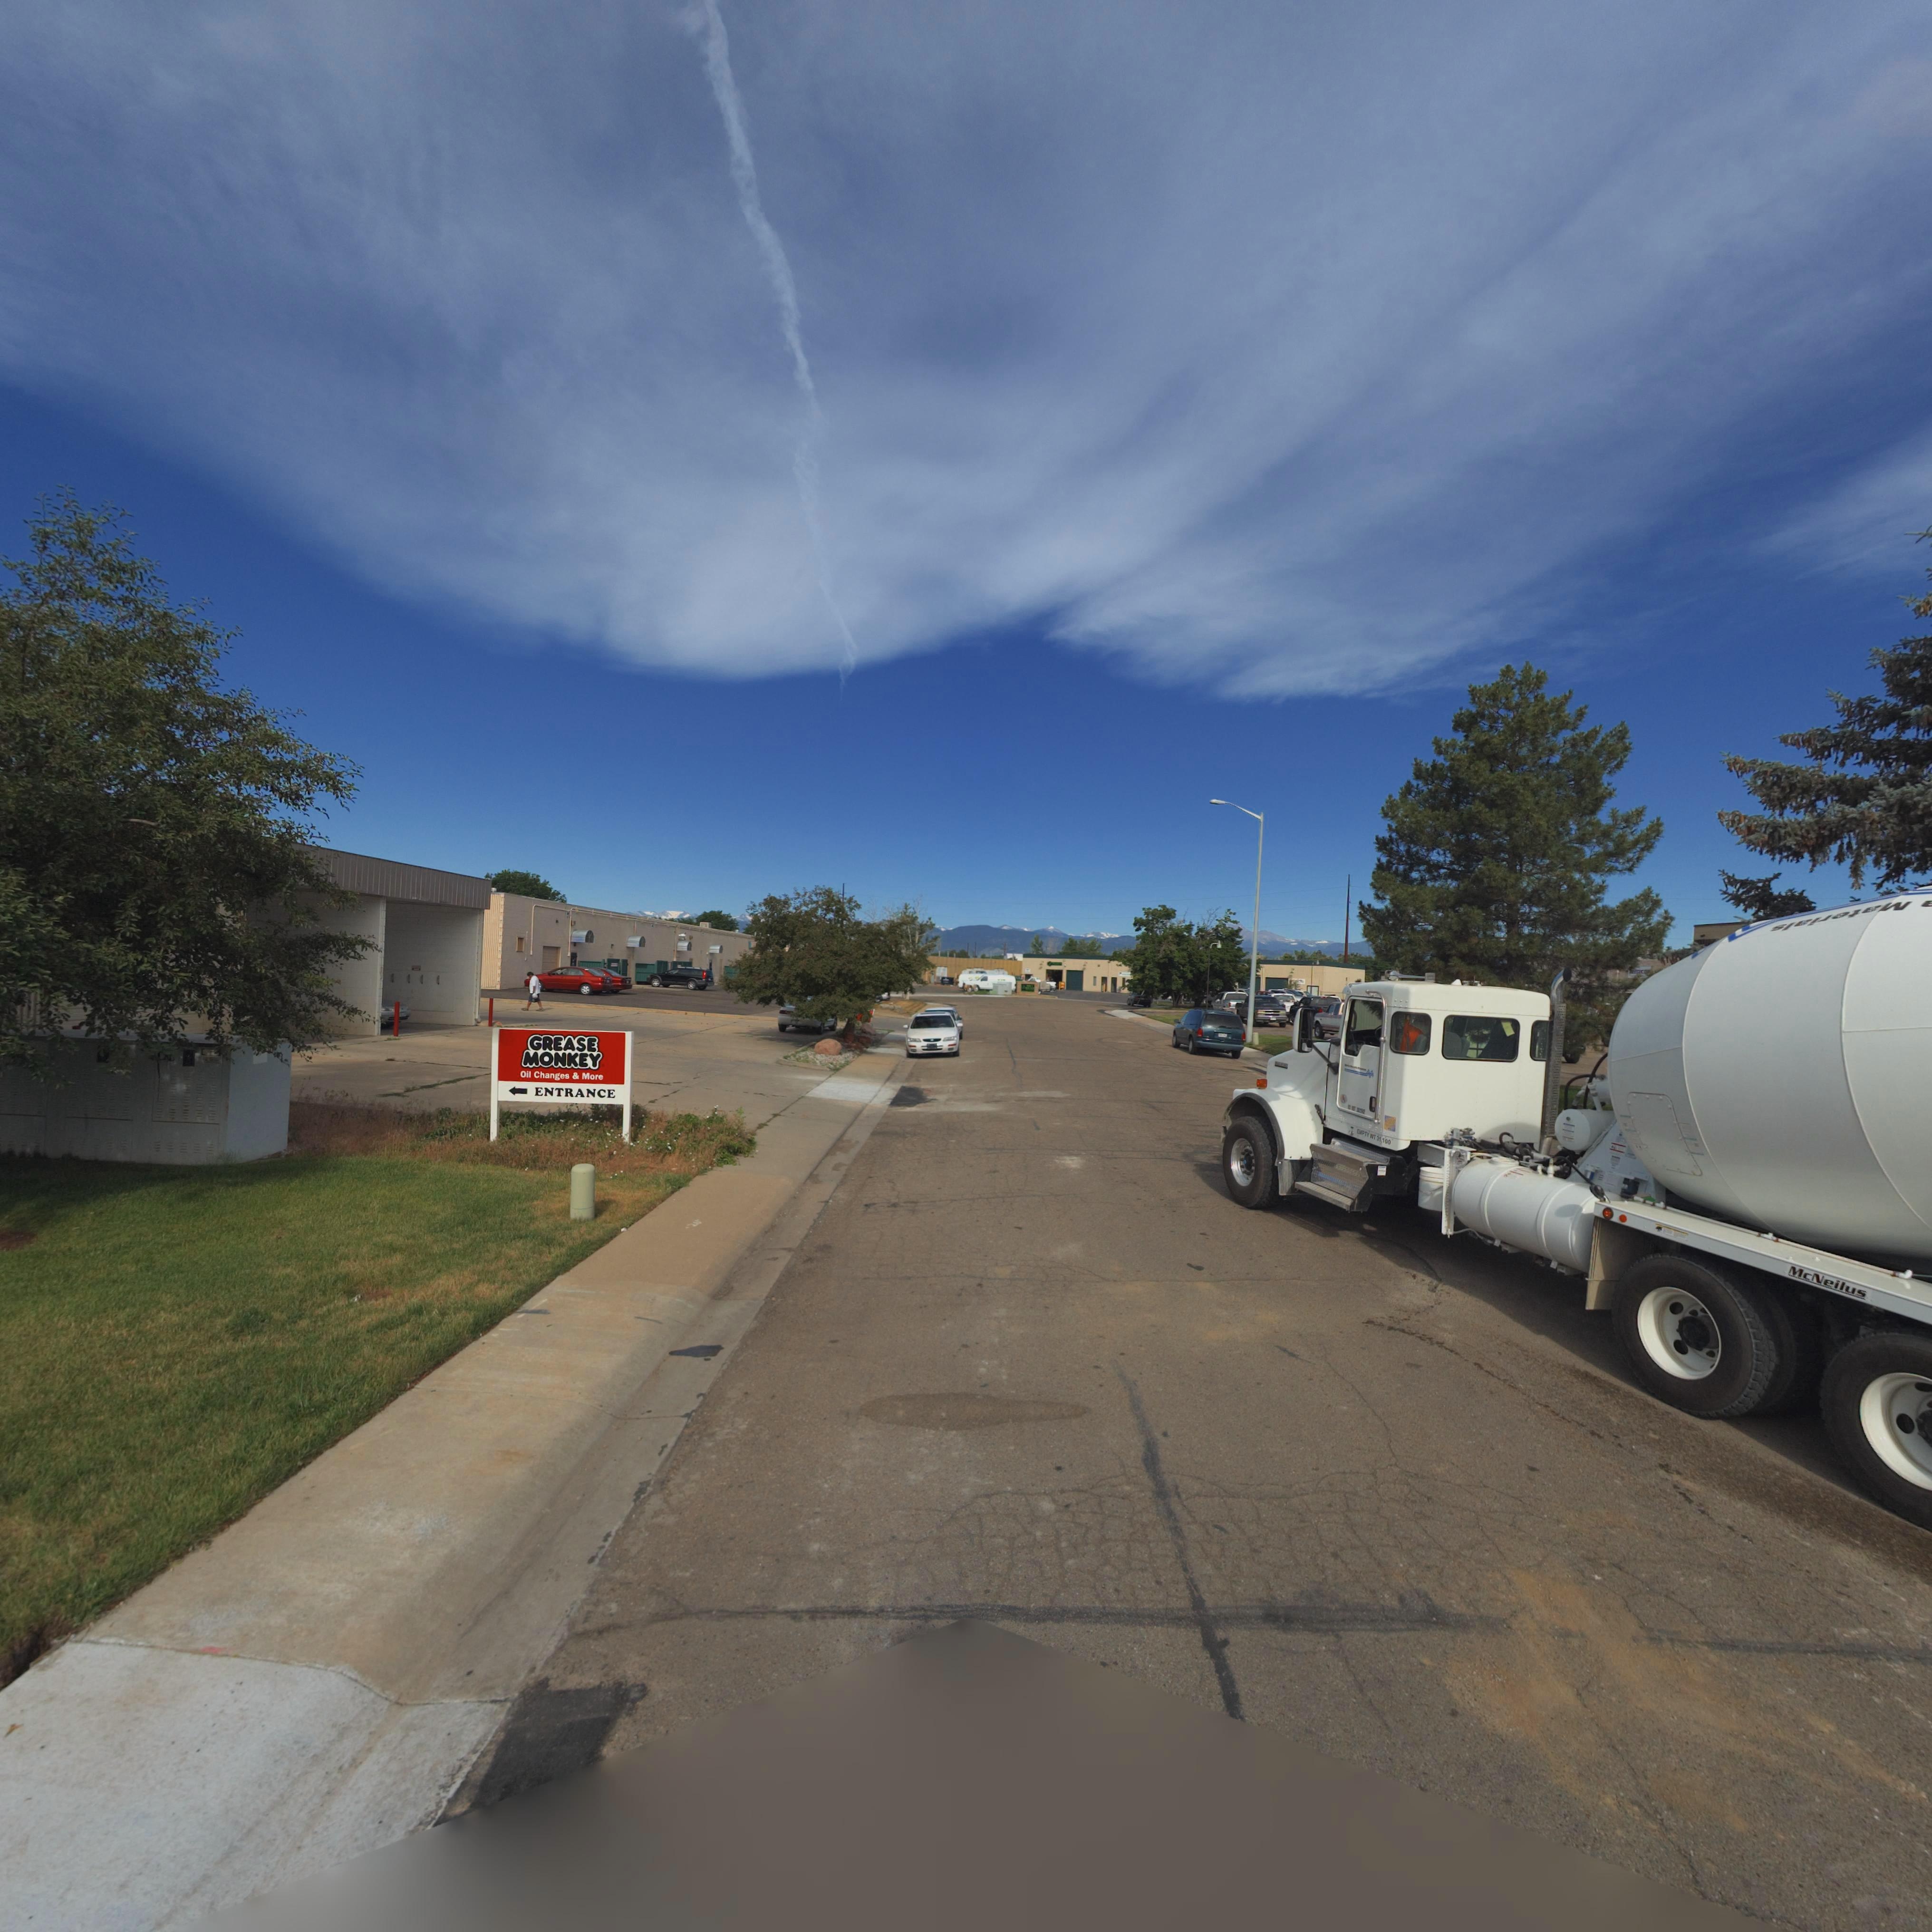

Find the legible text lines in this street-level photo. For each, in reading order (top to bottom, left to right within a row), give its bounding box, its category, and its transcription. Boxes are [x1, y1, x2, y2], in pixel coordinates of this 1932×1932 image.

[529, 1035, 597, 1052] BusinessName: GREASE
[523, 1051, 601, 1068] BusinessName: MONKEY
[534, 1087, 615, 1098] BusinessName: ENTRANCE